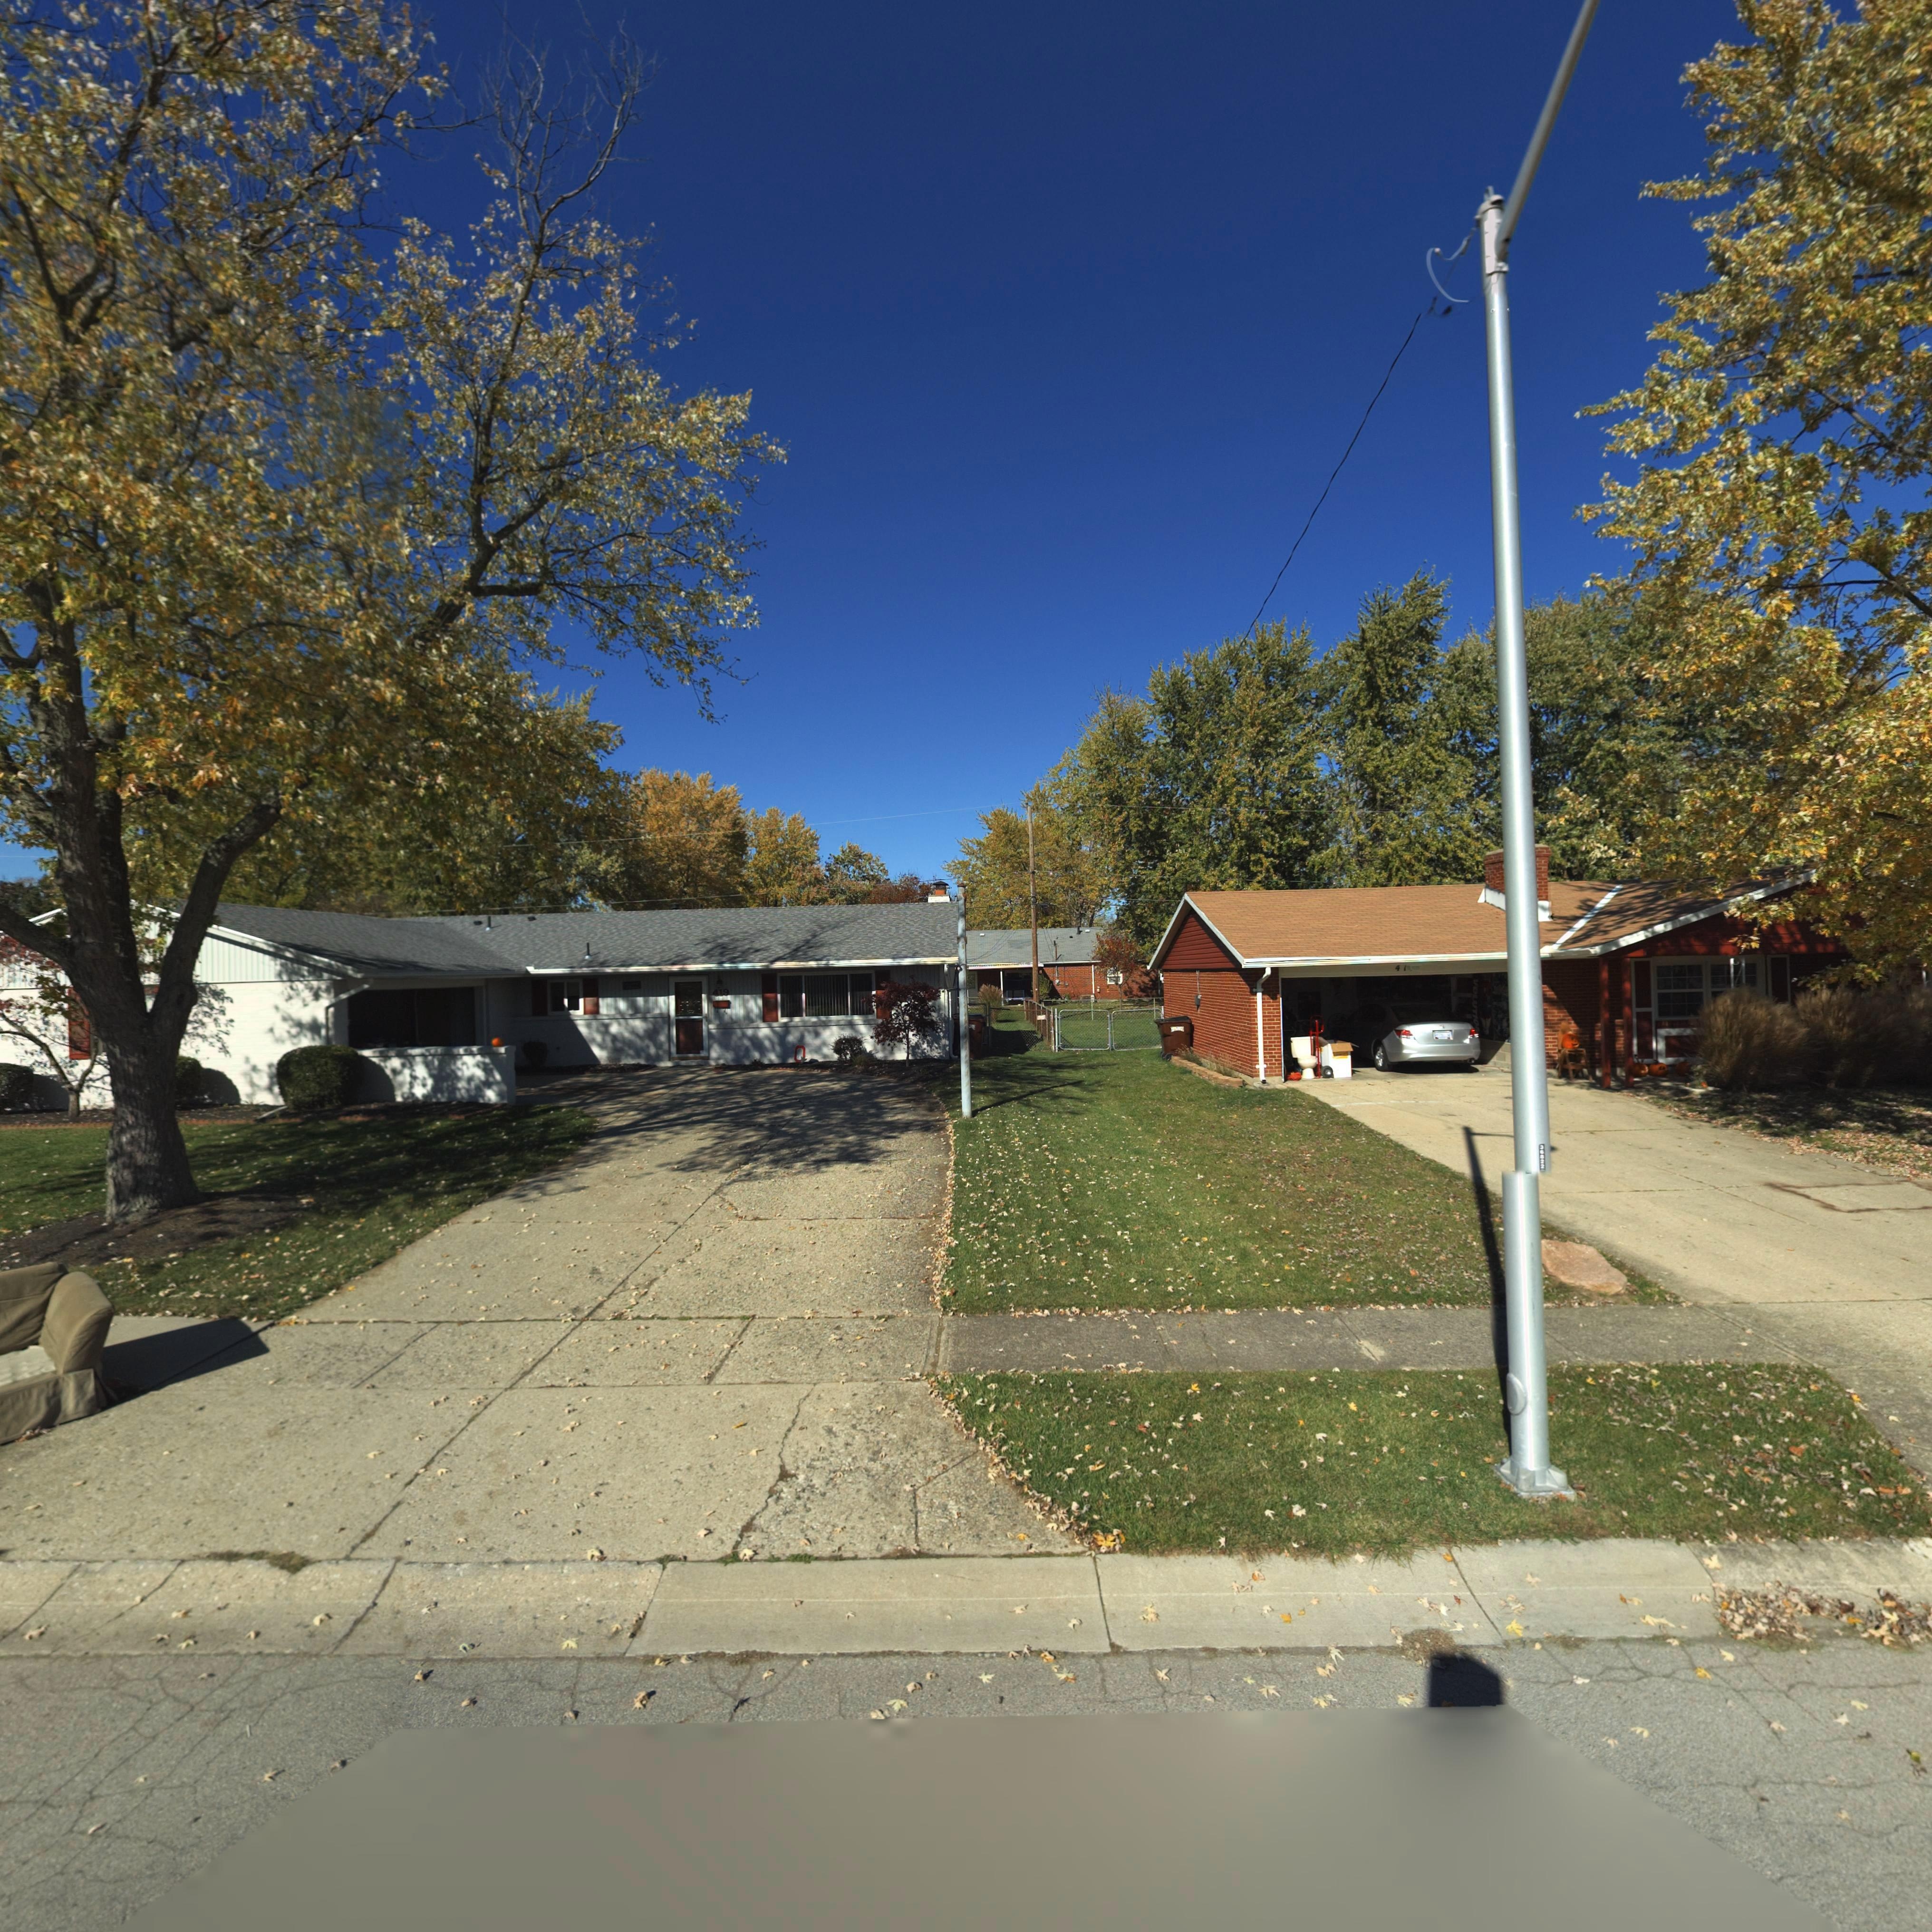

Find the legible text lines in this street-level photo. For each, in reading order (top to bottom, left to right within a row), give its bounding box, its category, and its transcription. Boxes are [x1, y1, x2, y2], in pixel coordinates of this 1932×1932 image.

[1394, 964, 1407, 972] StreetNumber: 41
[712, 987, 731, 997] StreetNumber: 419